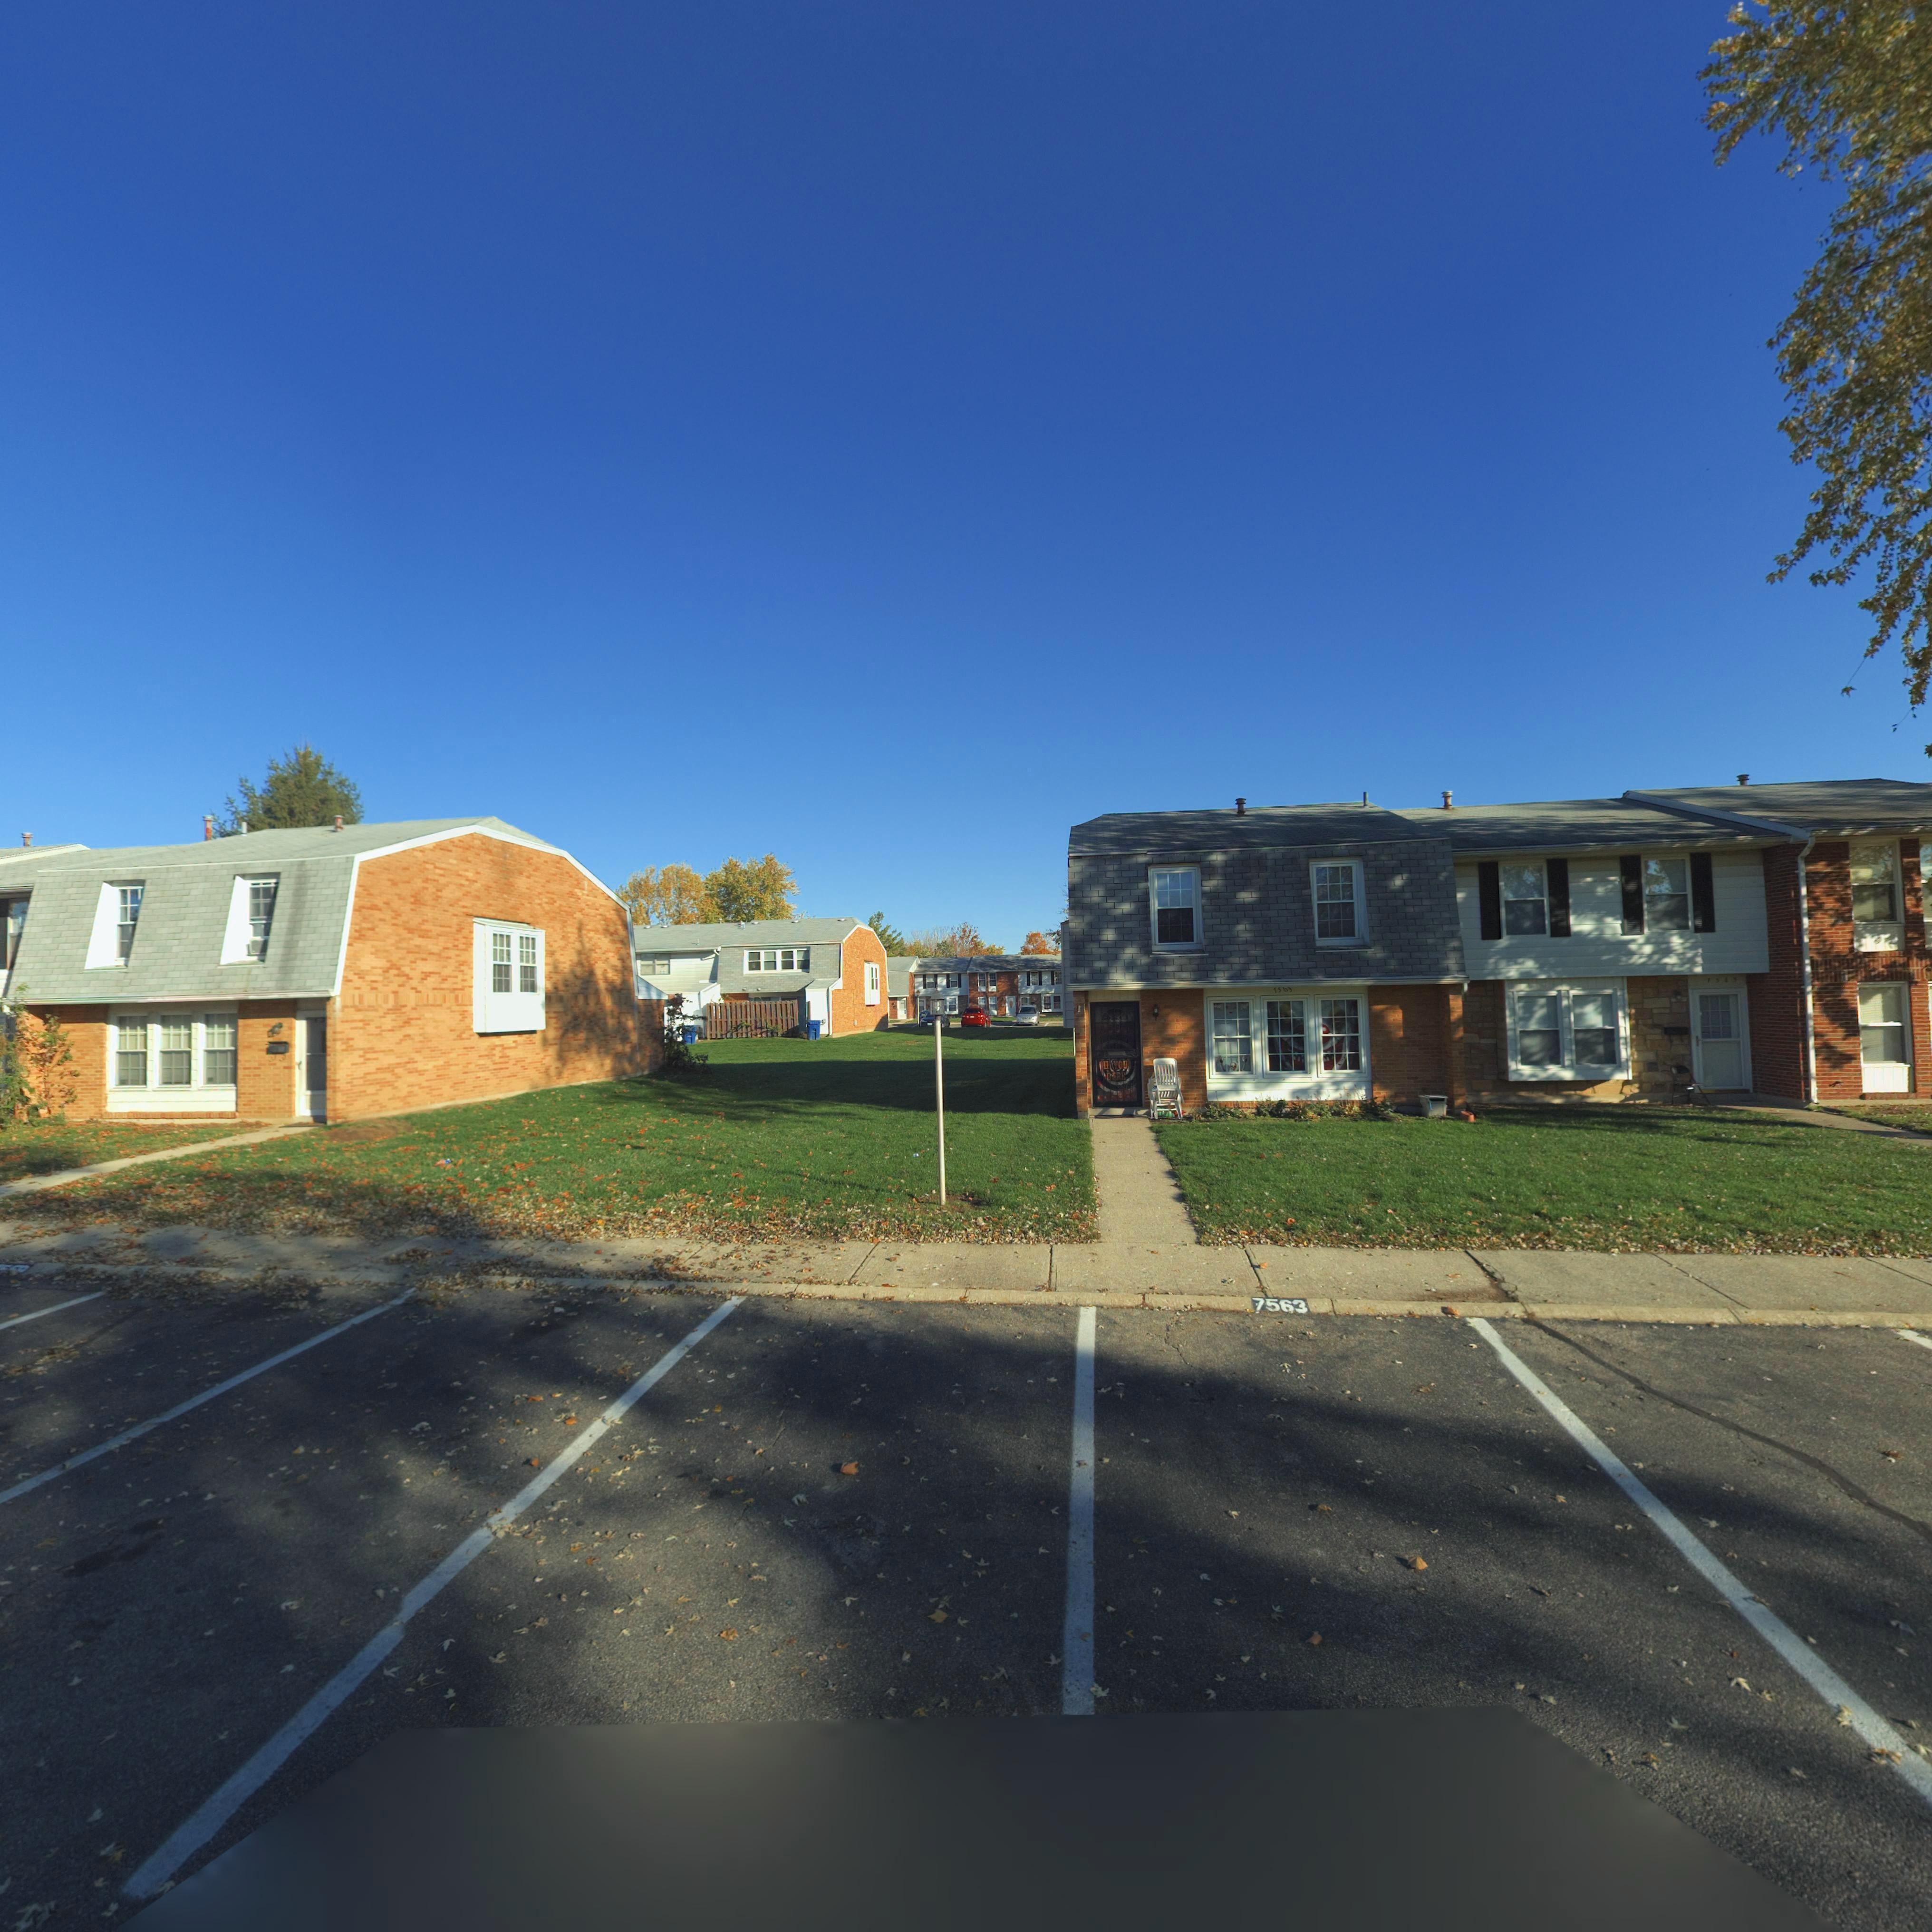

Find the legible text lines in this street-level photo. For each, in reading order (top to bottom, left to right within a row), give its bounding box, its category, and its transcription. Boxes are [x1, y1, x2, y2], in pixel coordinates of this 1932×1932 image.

[1706, 976, 1738, 984] StreetNumber: 7565
[1272, 986, 1293, 994] StreetNumber: 7563
[1251, 1297, 1309, 1314] StreetNumber: 7563